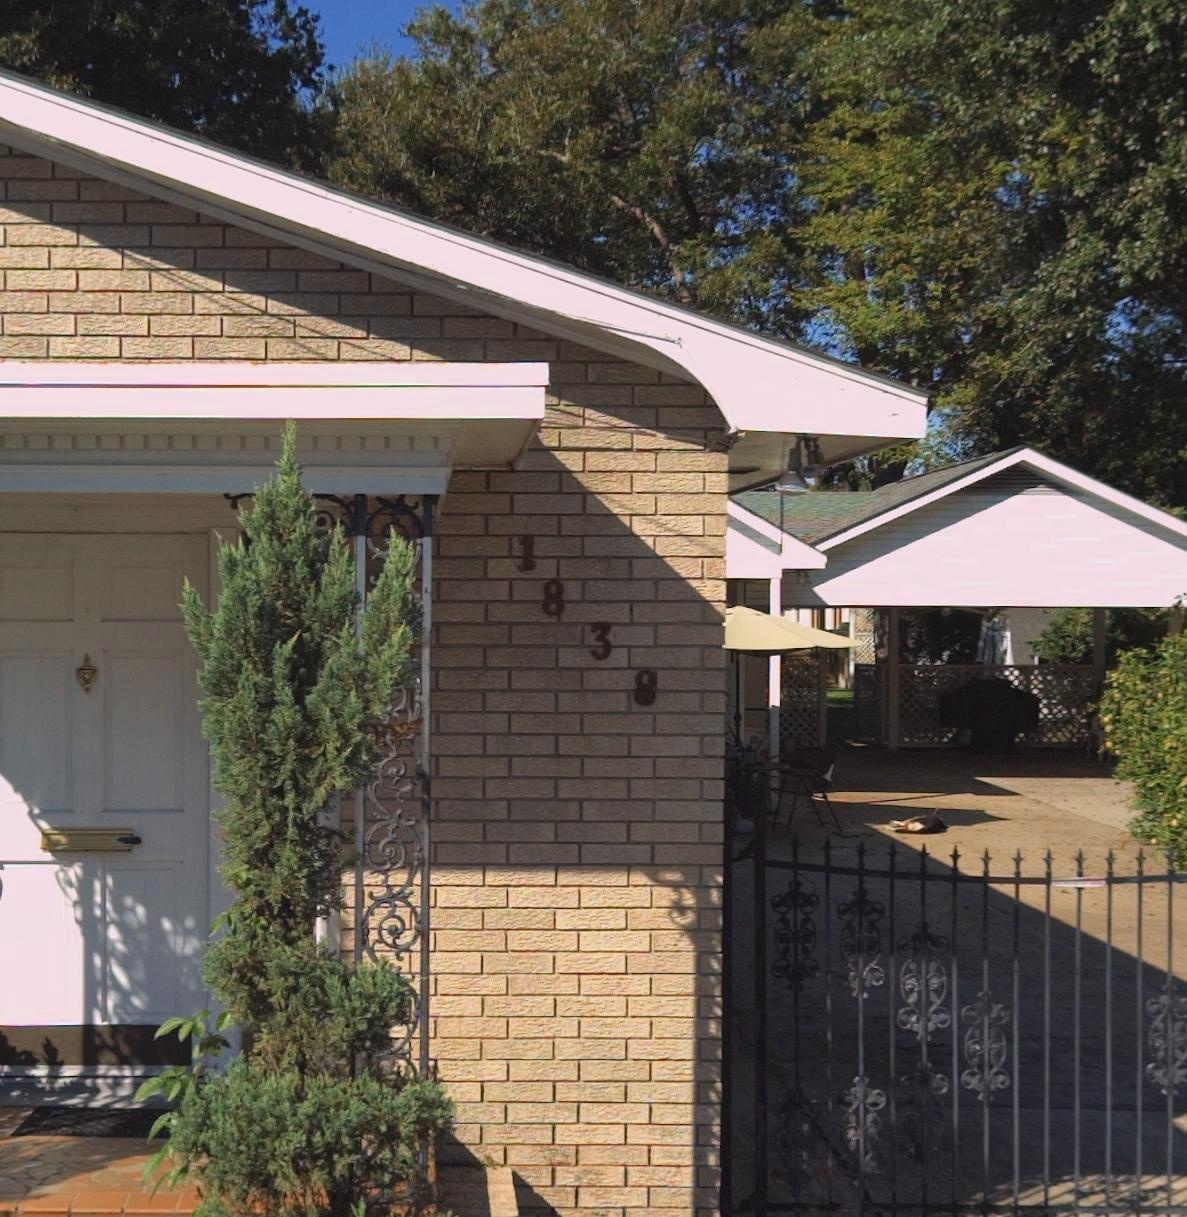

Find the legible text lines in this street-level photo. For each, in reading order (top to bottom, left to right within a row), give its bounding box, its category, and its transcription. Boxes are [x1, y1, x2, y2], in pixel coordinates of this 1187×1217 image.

[514, 527, 663, 723] StreetNumber: 1839